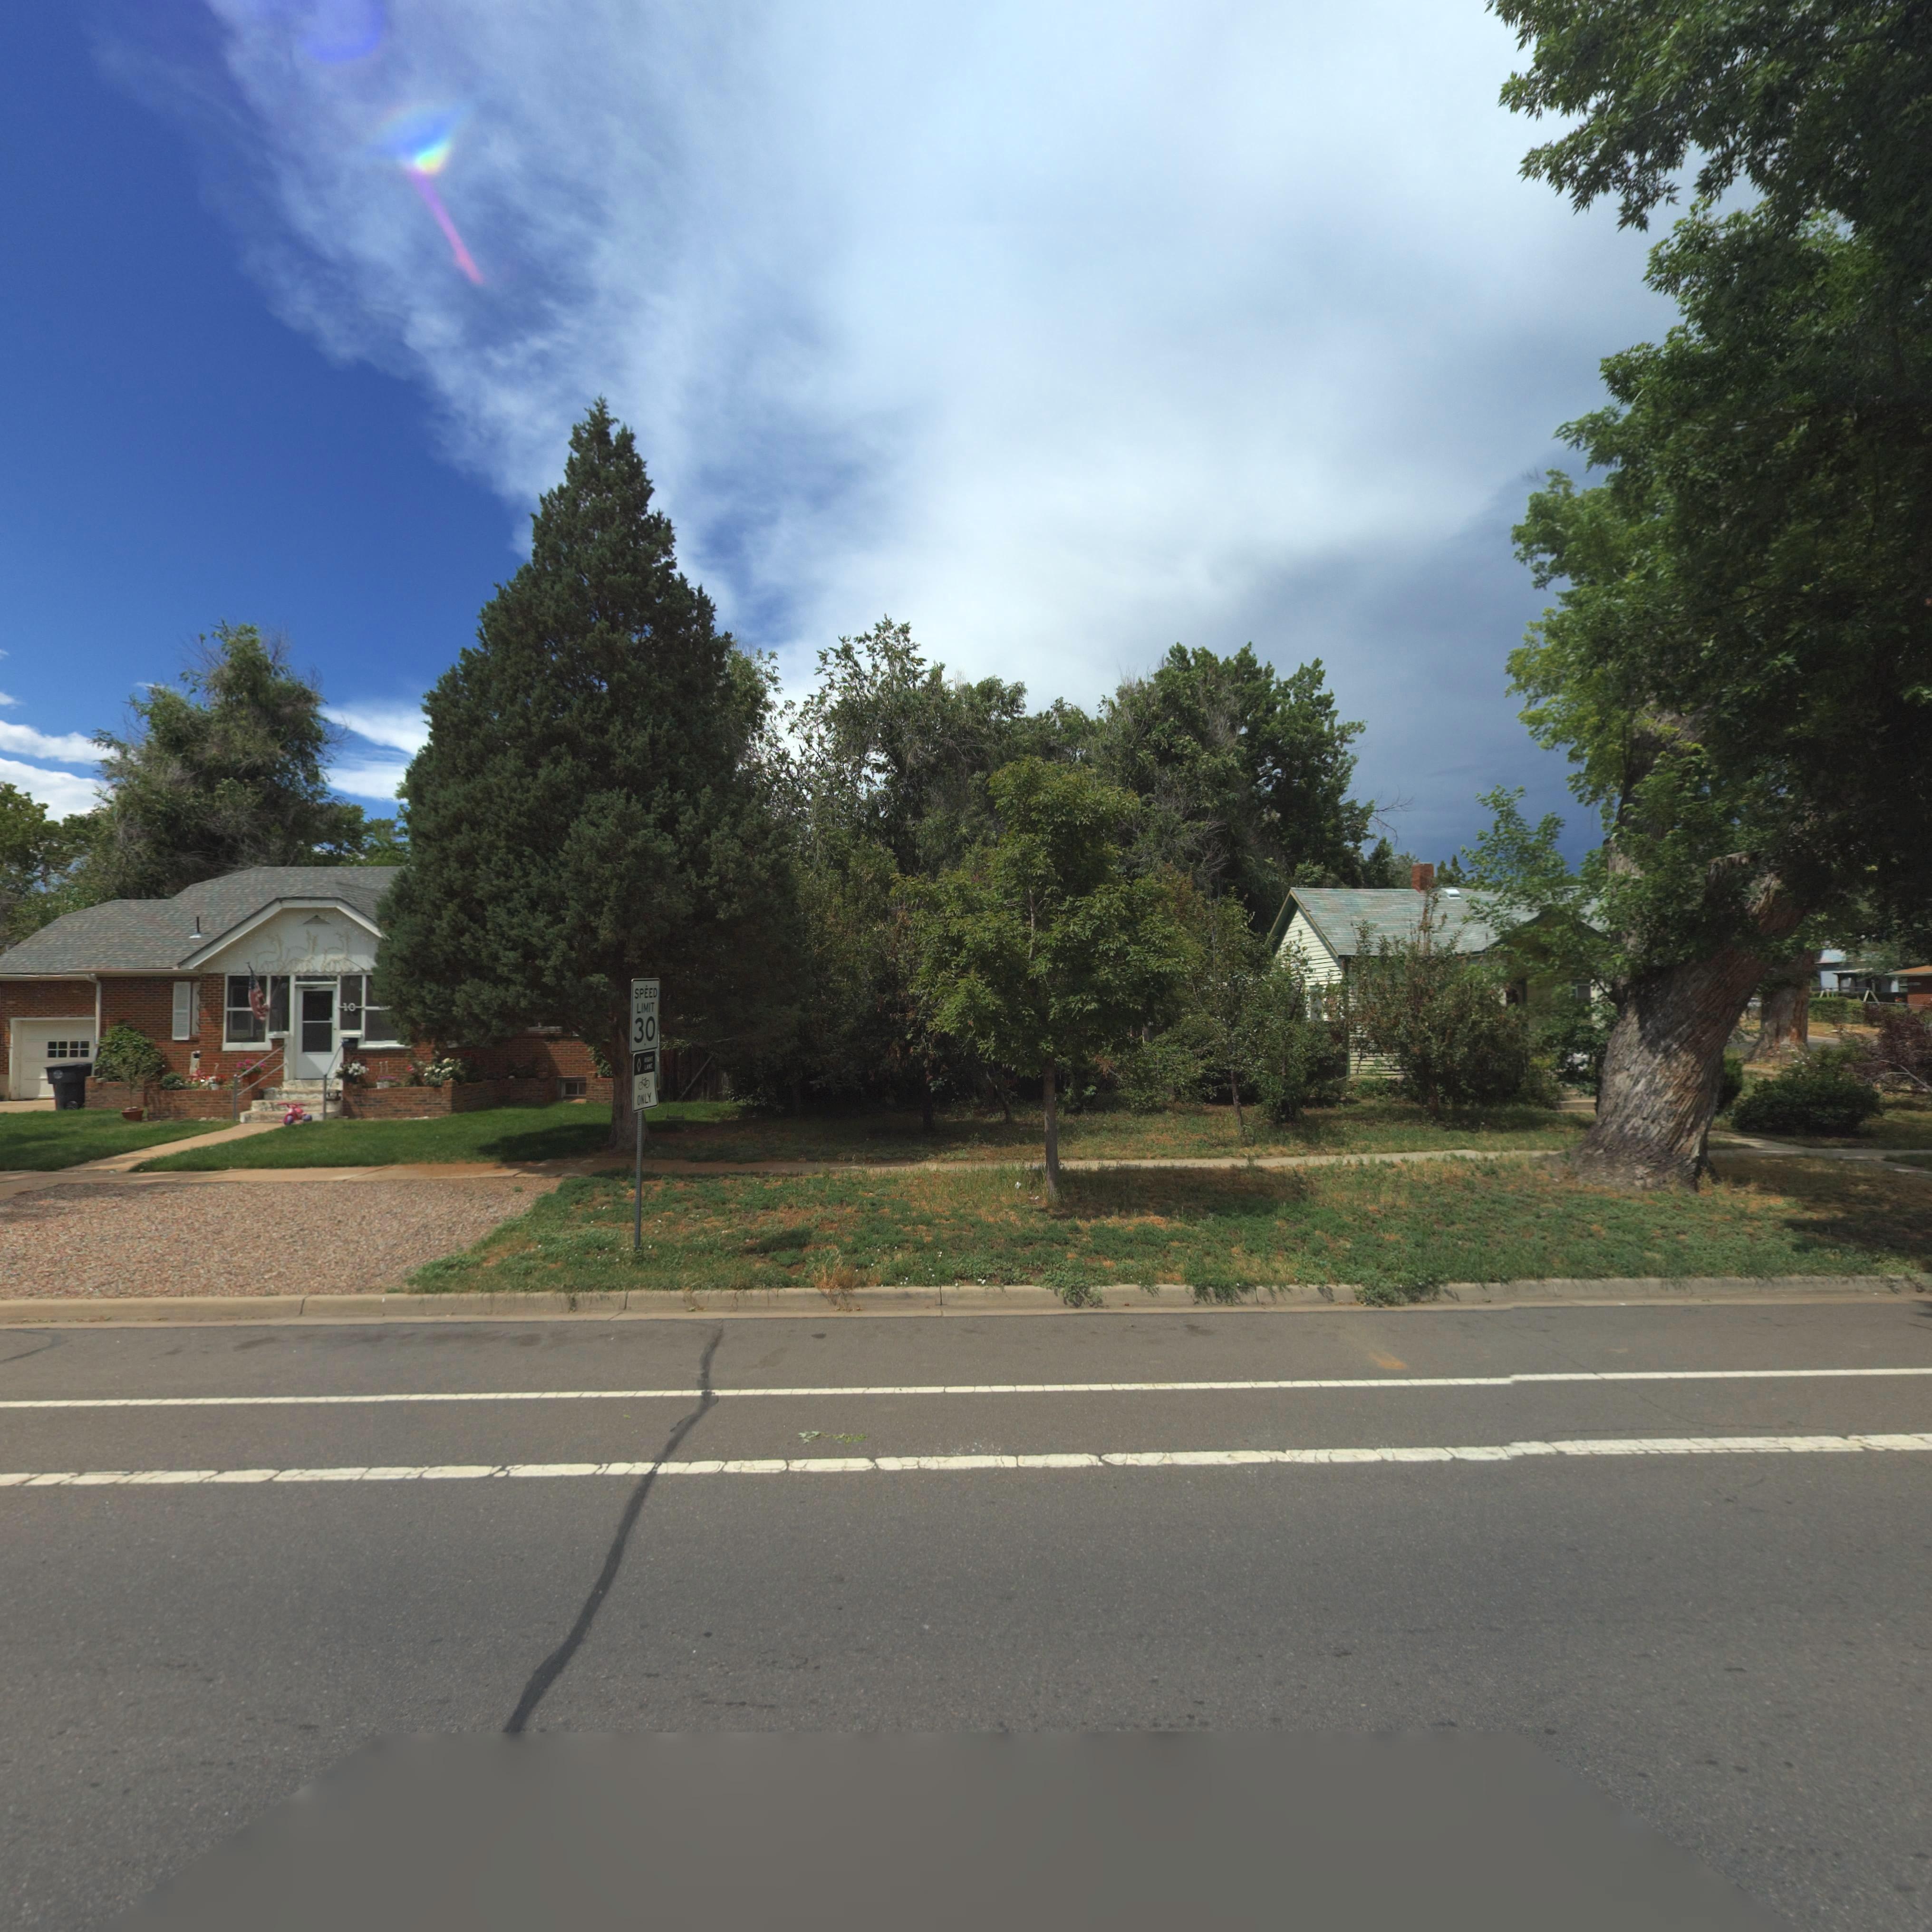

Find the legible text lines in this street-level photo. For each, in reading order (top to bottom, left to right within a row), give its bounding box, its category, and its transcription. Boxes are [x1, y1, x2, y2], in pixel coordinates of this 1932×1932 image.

[342, 1002, 356, 1012] StreetNumber: 10